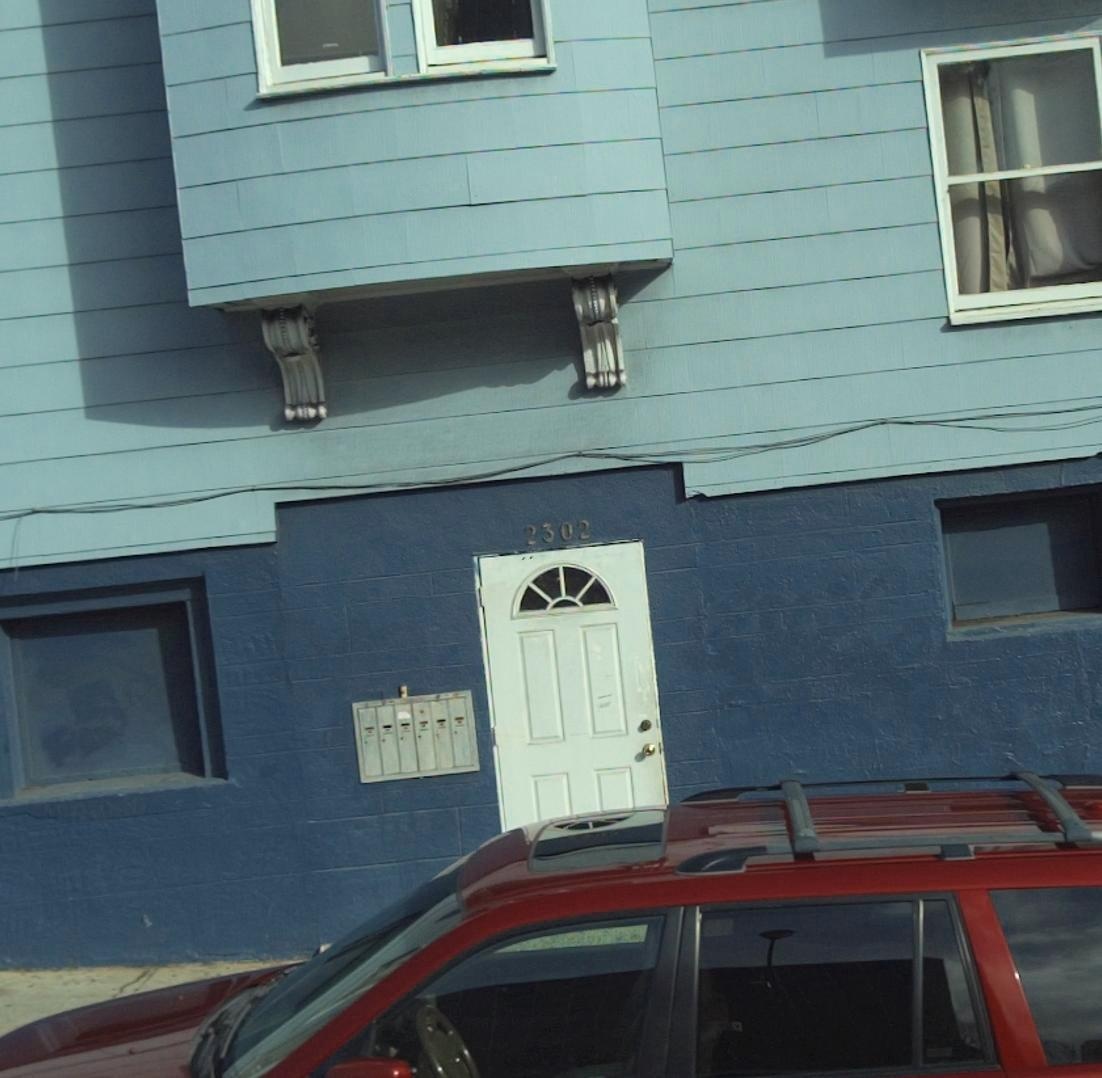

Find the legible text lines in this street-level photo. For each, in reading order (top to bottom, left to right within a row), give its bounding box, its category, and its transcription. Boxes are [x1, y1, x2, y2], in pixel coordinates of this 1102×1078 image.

[522, 515, 594, 550] StreetNumber: 2302